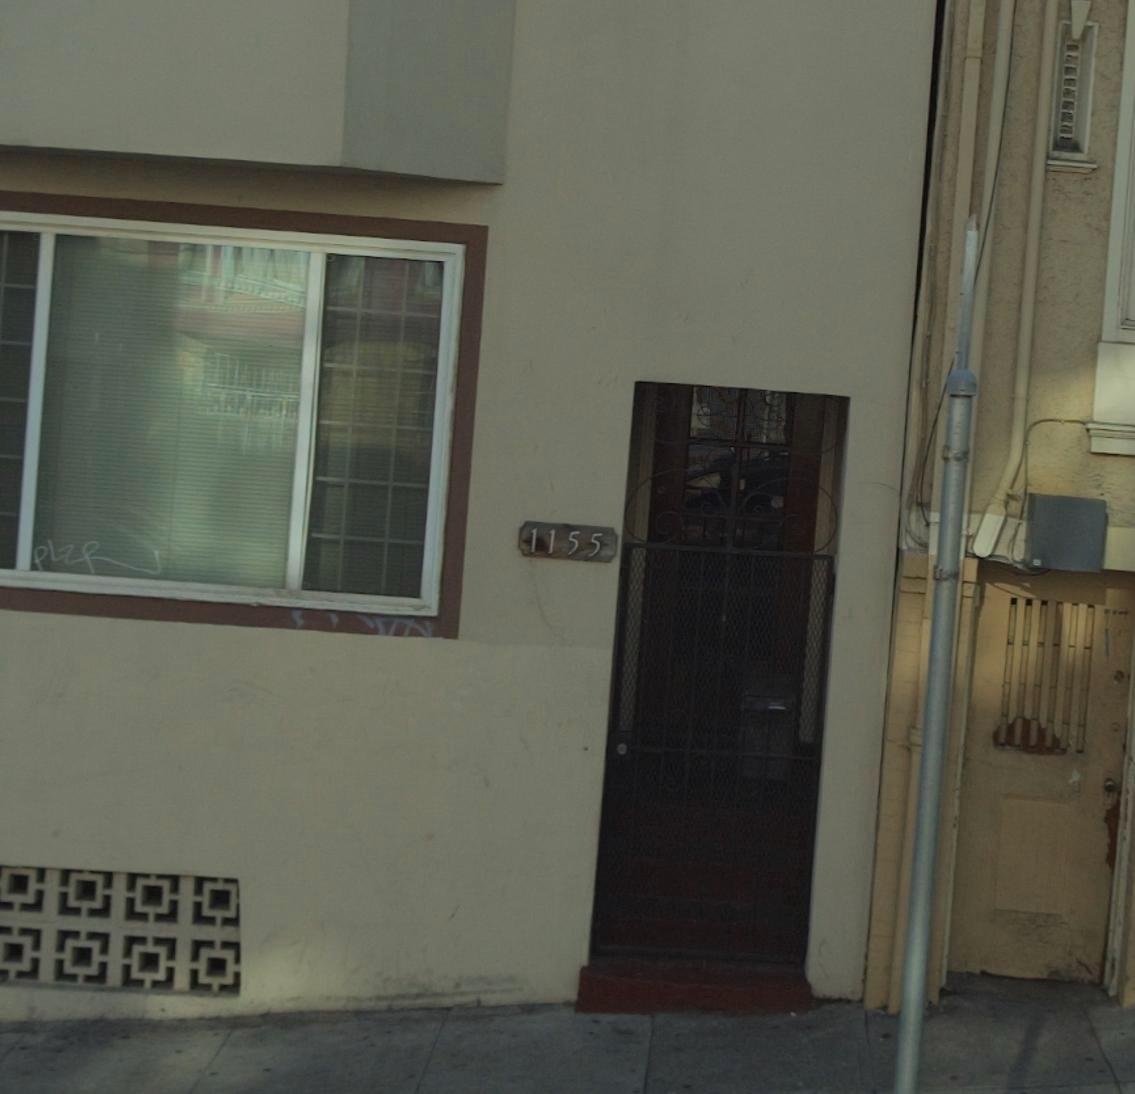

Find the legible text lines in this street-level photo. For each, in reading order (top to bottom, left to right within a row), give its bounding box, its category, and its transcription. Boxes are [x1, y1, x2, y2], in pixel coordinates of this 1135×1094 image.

[526, 525, 605, 560] StreetNumber: 1155